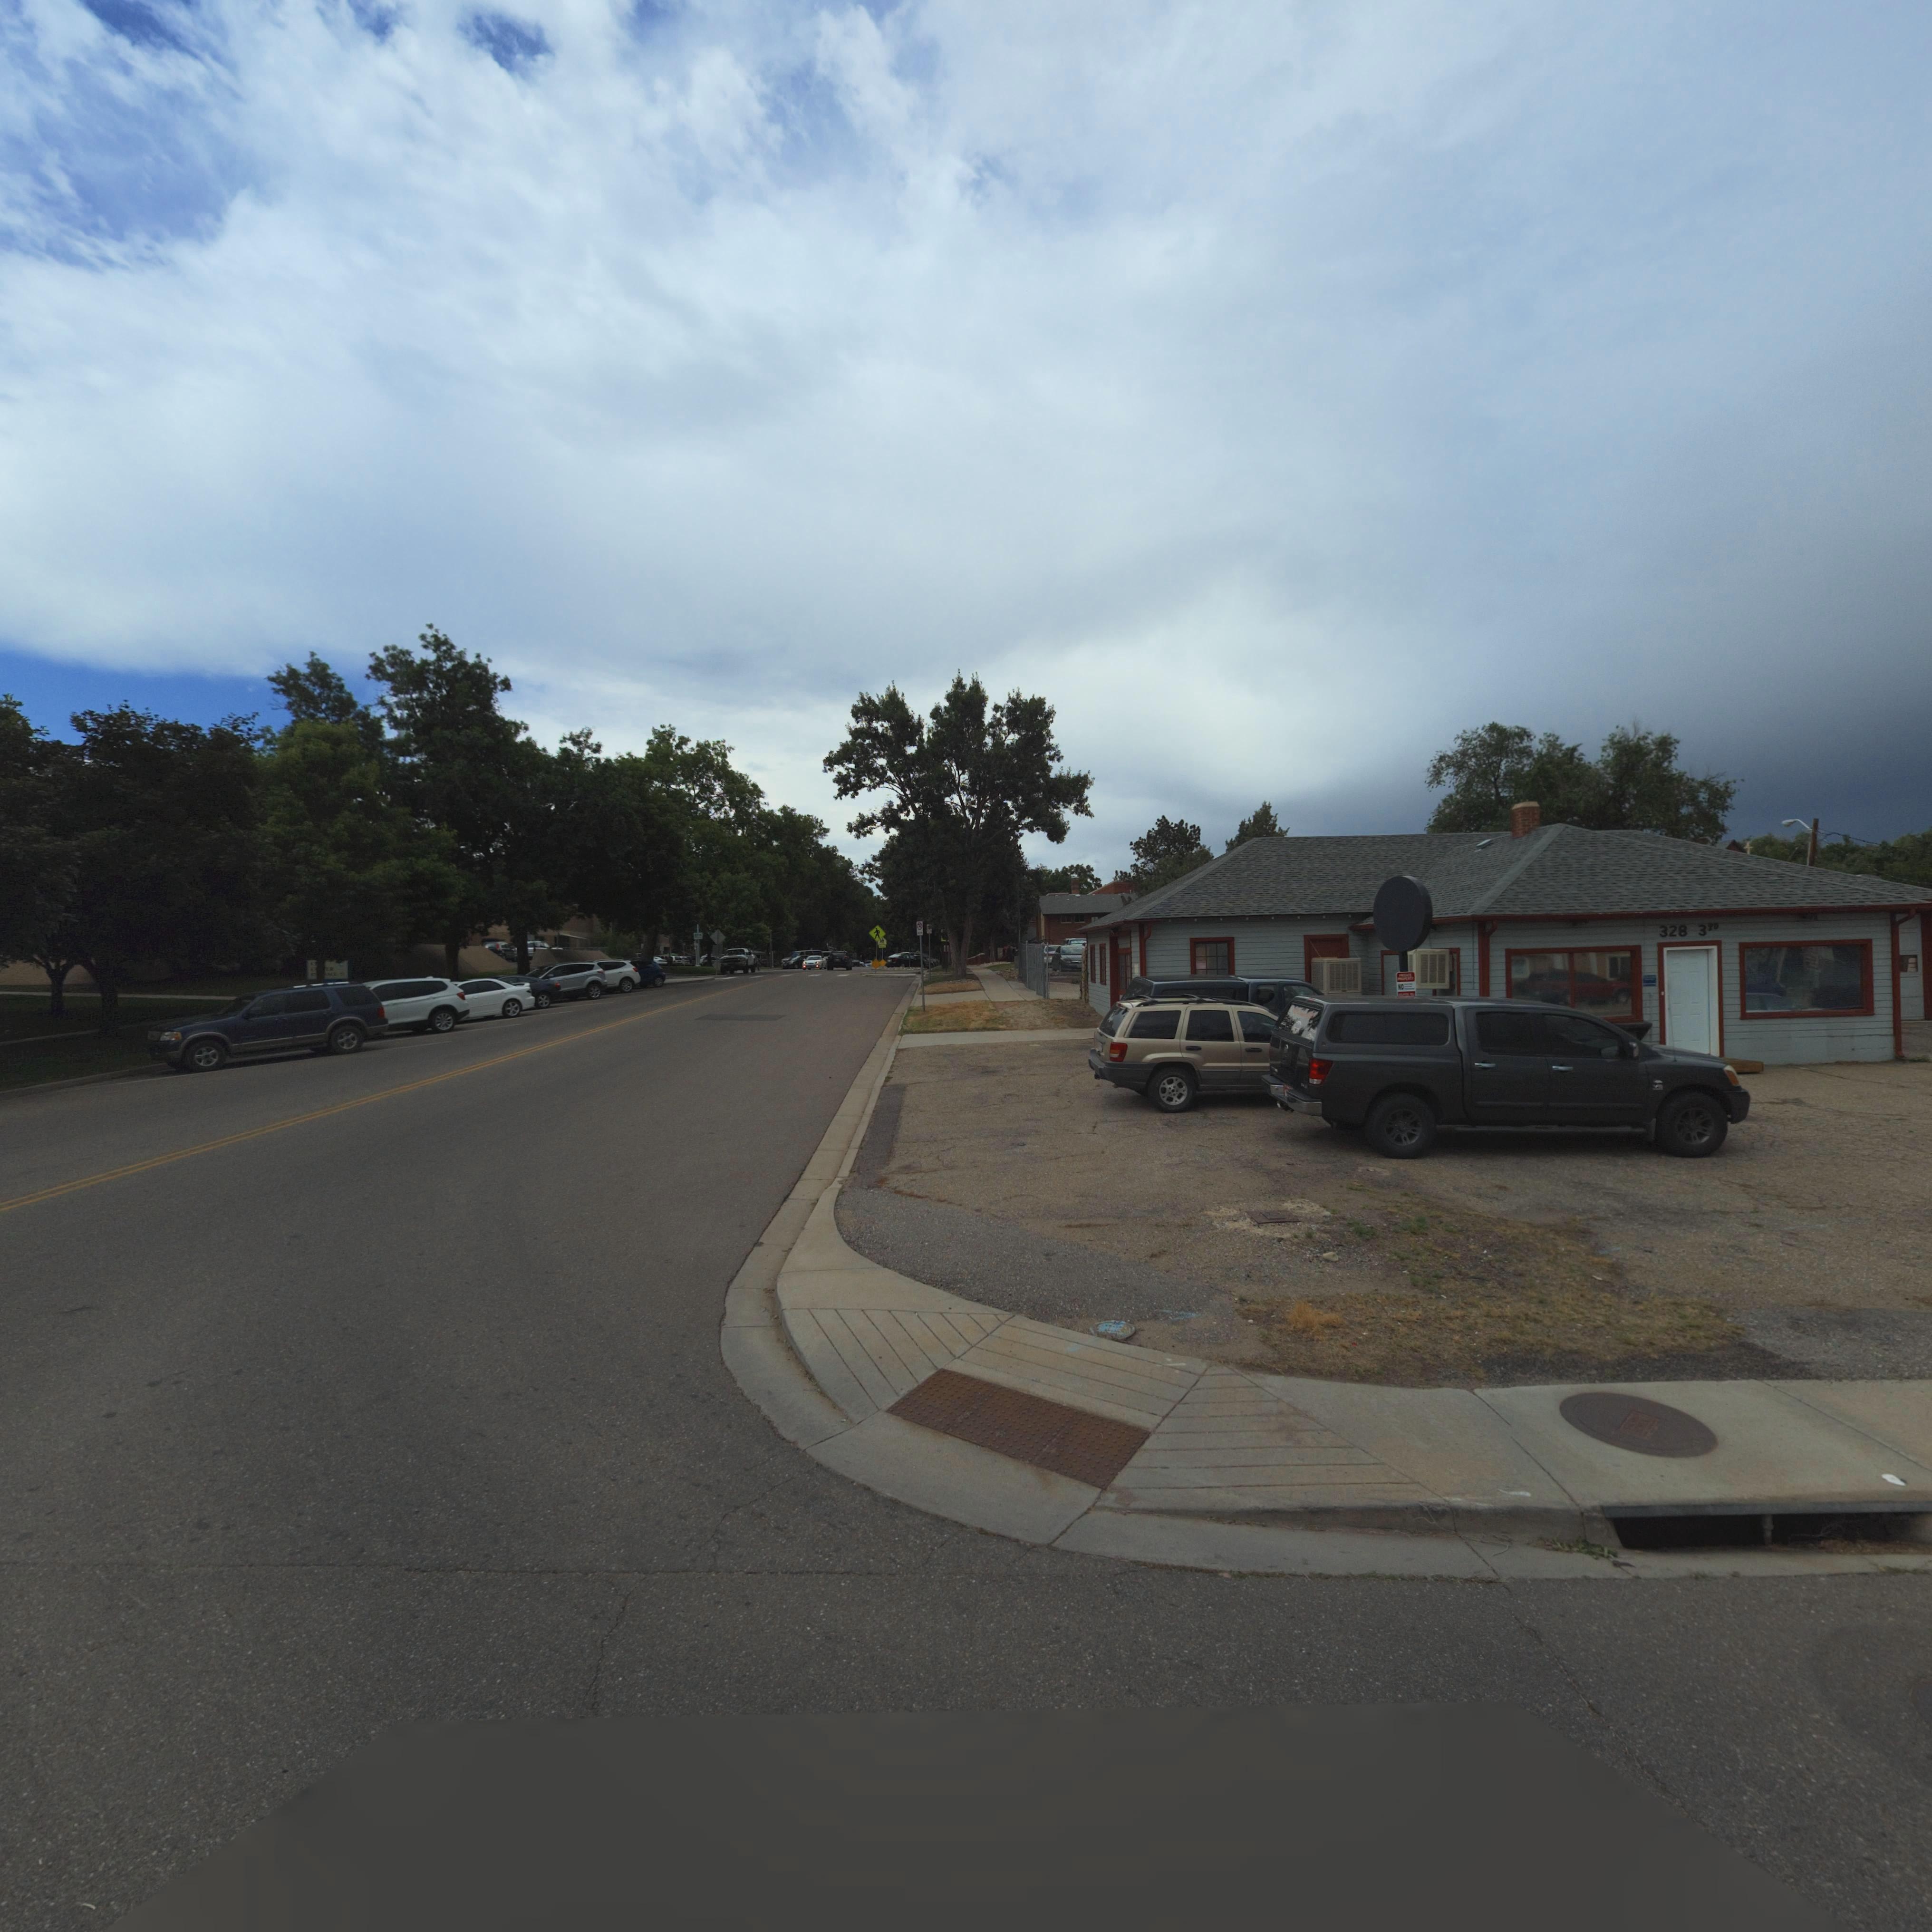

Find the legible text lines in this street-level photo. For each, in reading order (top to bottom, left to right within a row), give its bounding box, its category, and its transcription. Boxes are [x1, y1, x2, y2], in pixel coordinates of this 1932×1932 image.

[1658, 925, 1688, 937] StreetNumber: 328